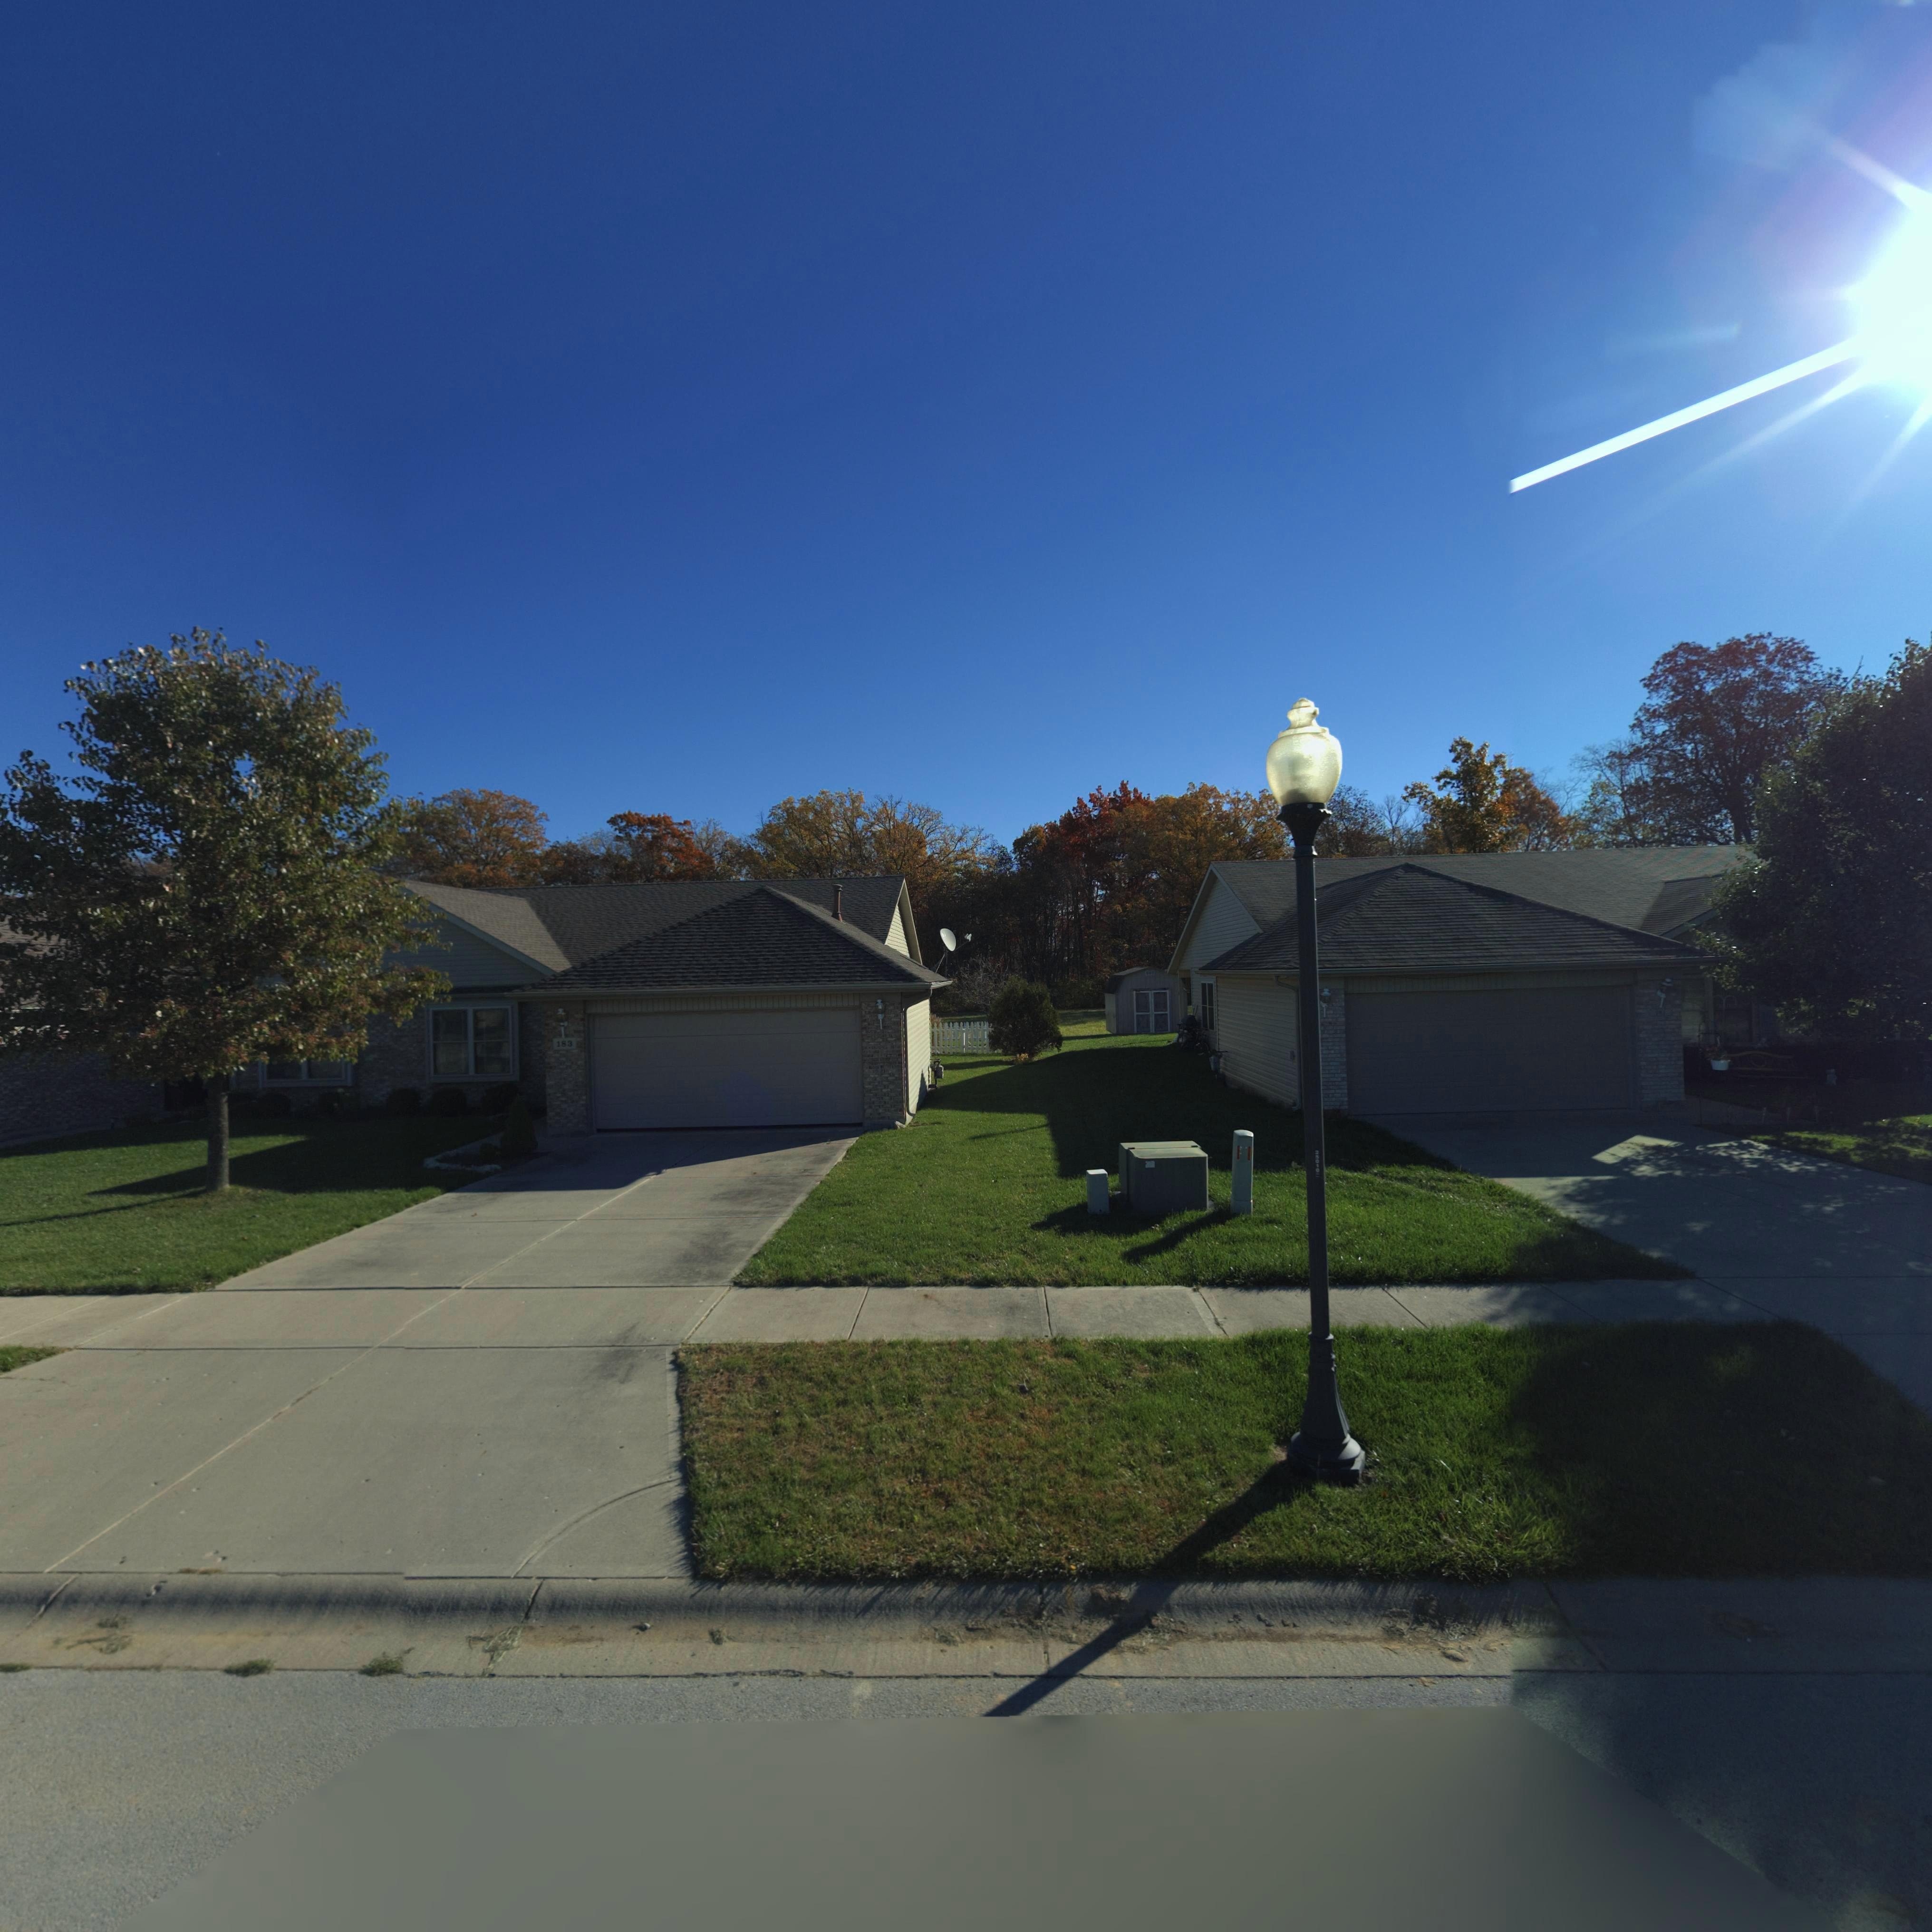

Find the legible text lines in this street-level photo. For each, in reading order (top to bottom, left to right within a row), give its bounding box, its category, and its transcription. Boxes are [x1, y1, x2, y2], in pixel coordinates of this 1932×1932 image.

[556, 1039, 573, 1048] StreetNumber: 183